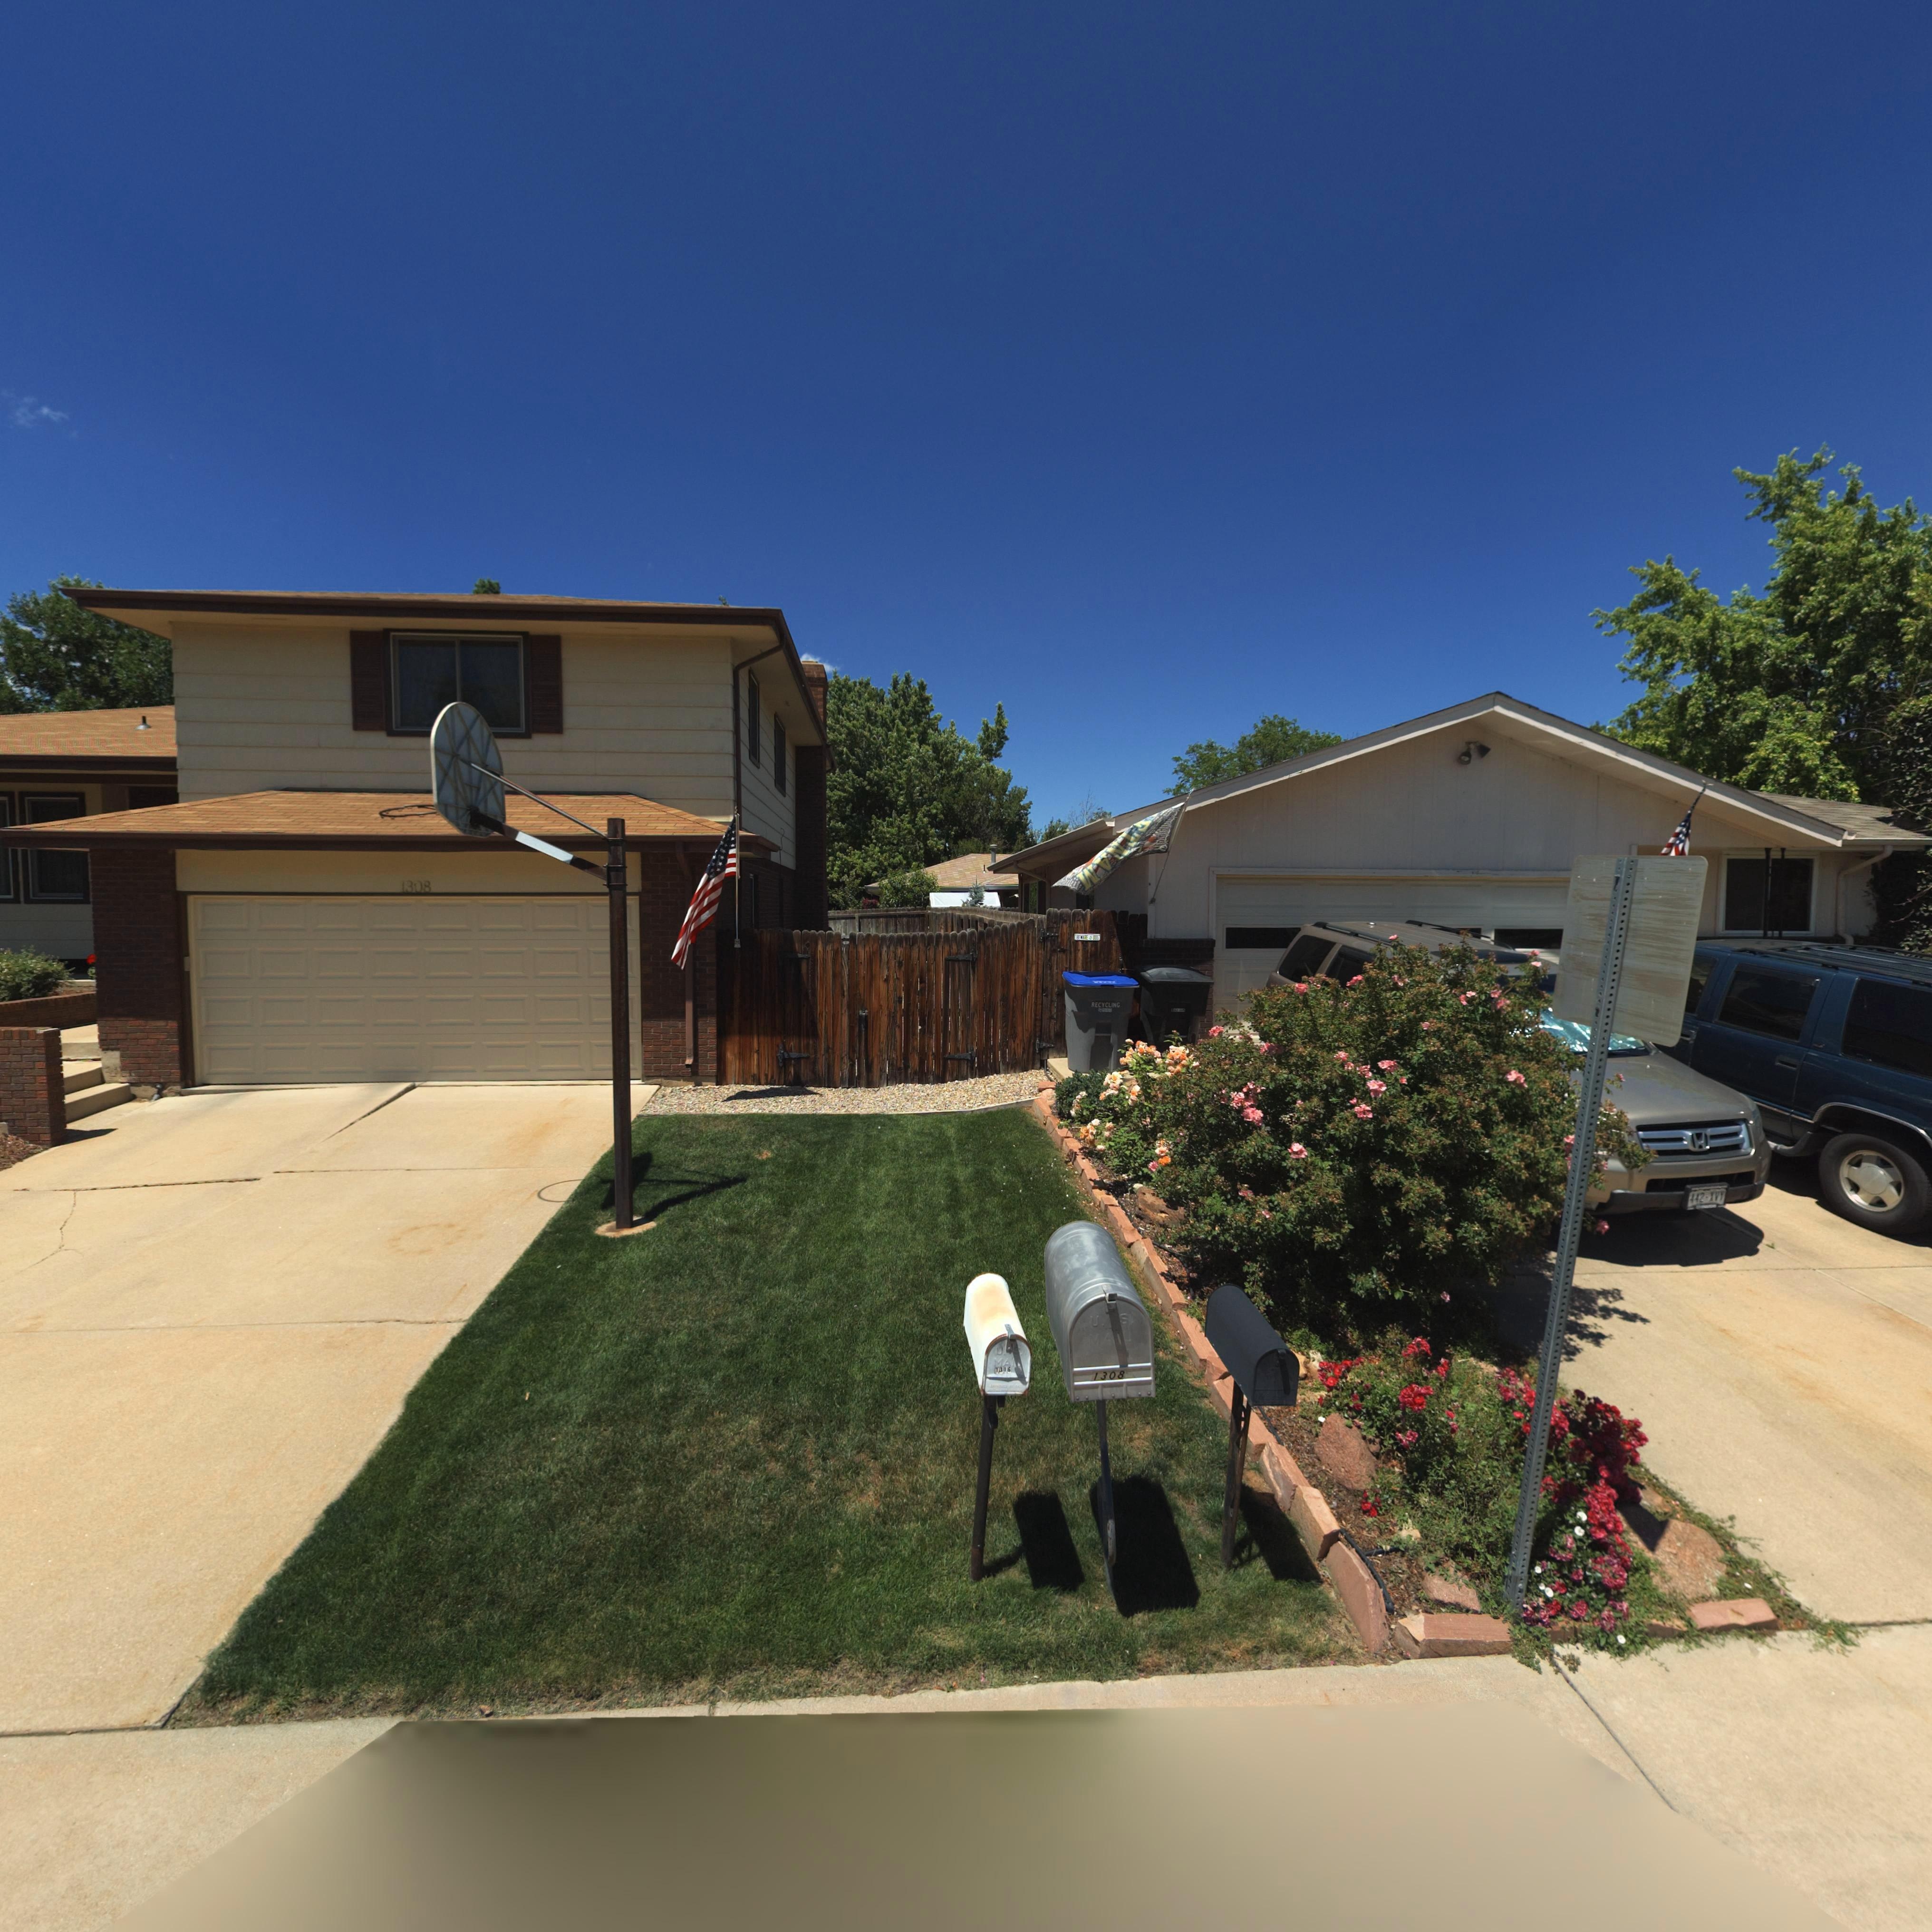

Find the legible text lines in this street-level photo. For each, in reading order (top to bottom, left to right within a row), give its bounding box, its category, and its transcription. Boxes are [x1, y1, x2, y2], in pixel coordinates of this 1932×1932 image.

[401, 880, 431, 893] StreetNumber: 1308
[995, 1366, 1011, 1372] StreetNumber: 1316
[1093, 1371, 1125, 1381] StreetNumber: 1308